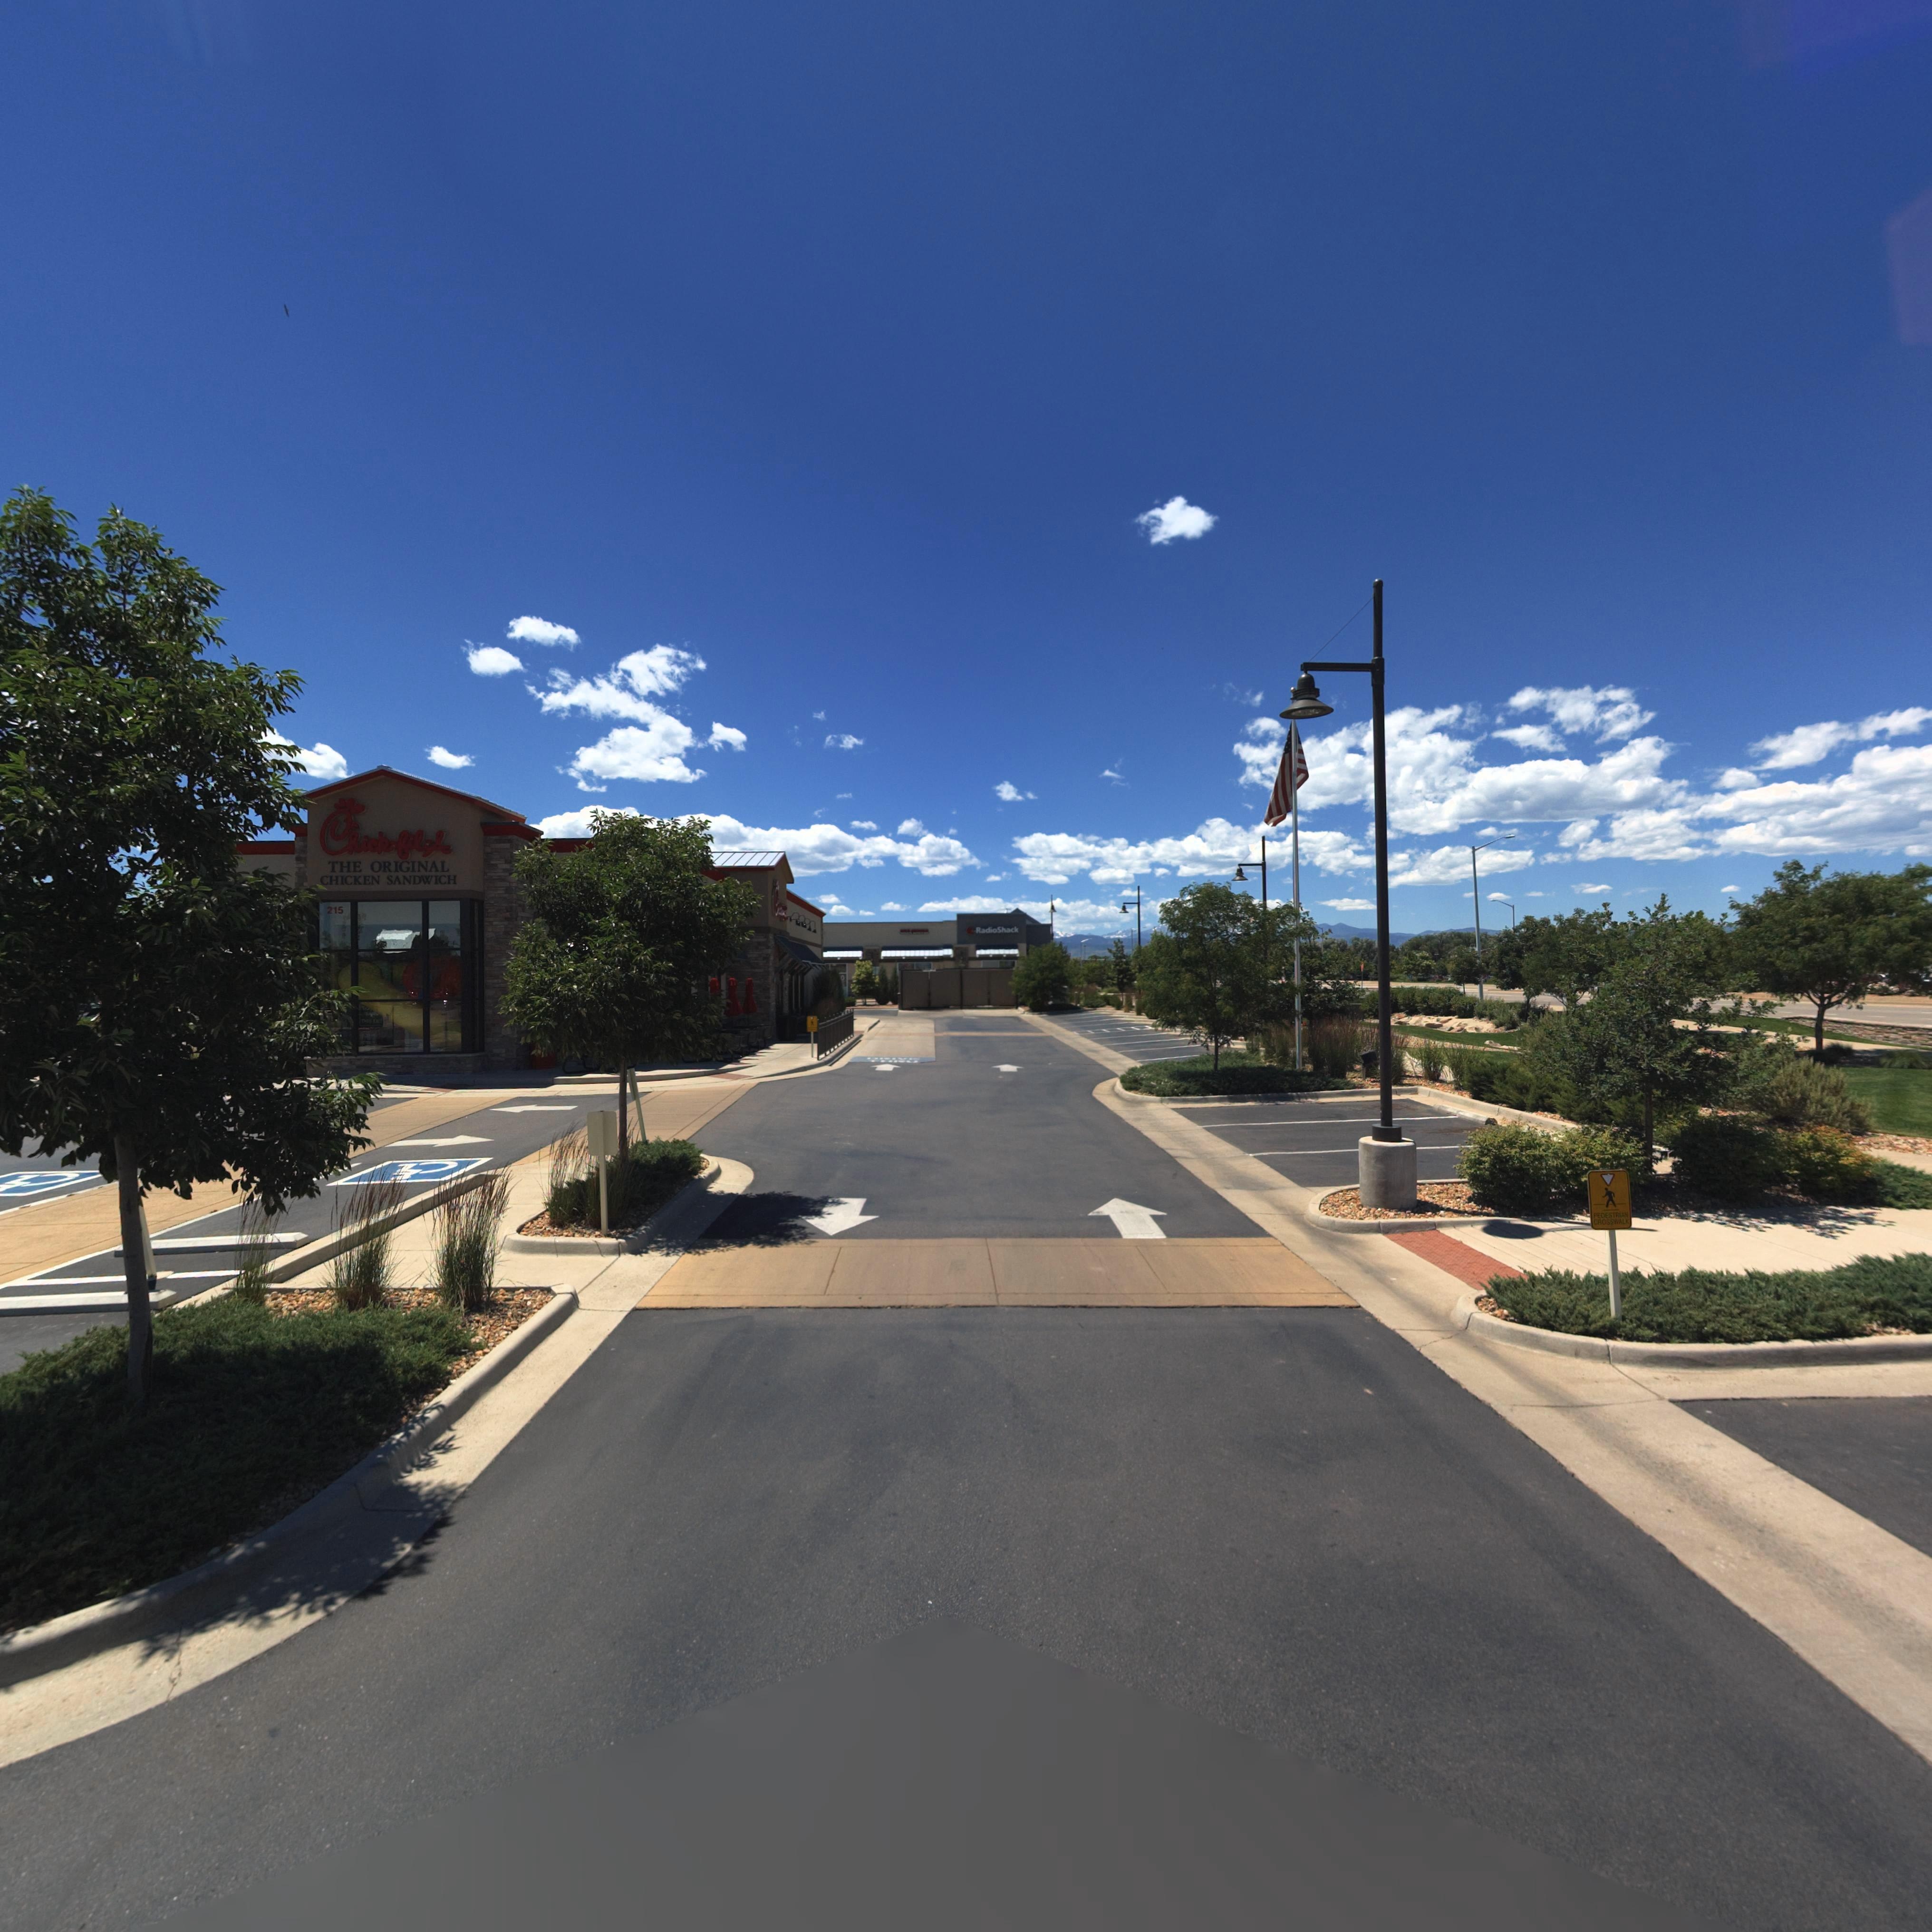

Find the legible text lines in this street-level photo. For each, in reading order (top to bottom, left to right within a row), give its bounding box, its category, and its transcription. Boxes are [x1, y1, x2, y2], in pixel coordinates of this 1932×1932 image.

[316, 808, 456, 860] BusinessName: Chick-fil-A
[326, 906, 343, 914] StreetNumber: 215
[976, 926, 1019, 933] BusinessName: RadioShack